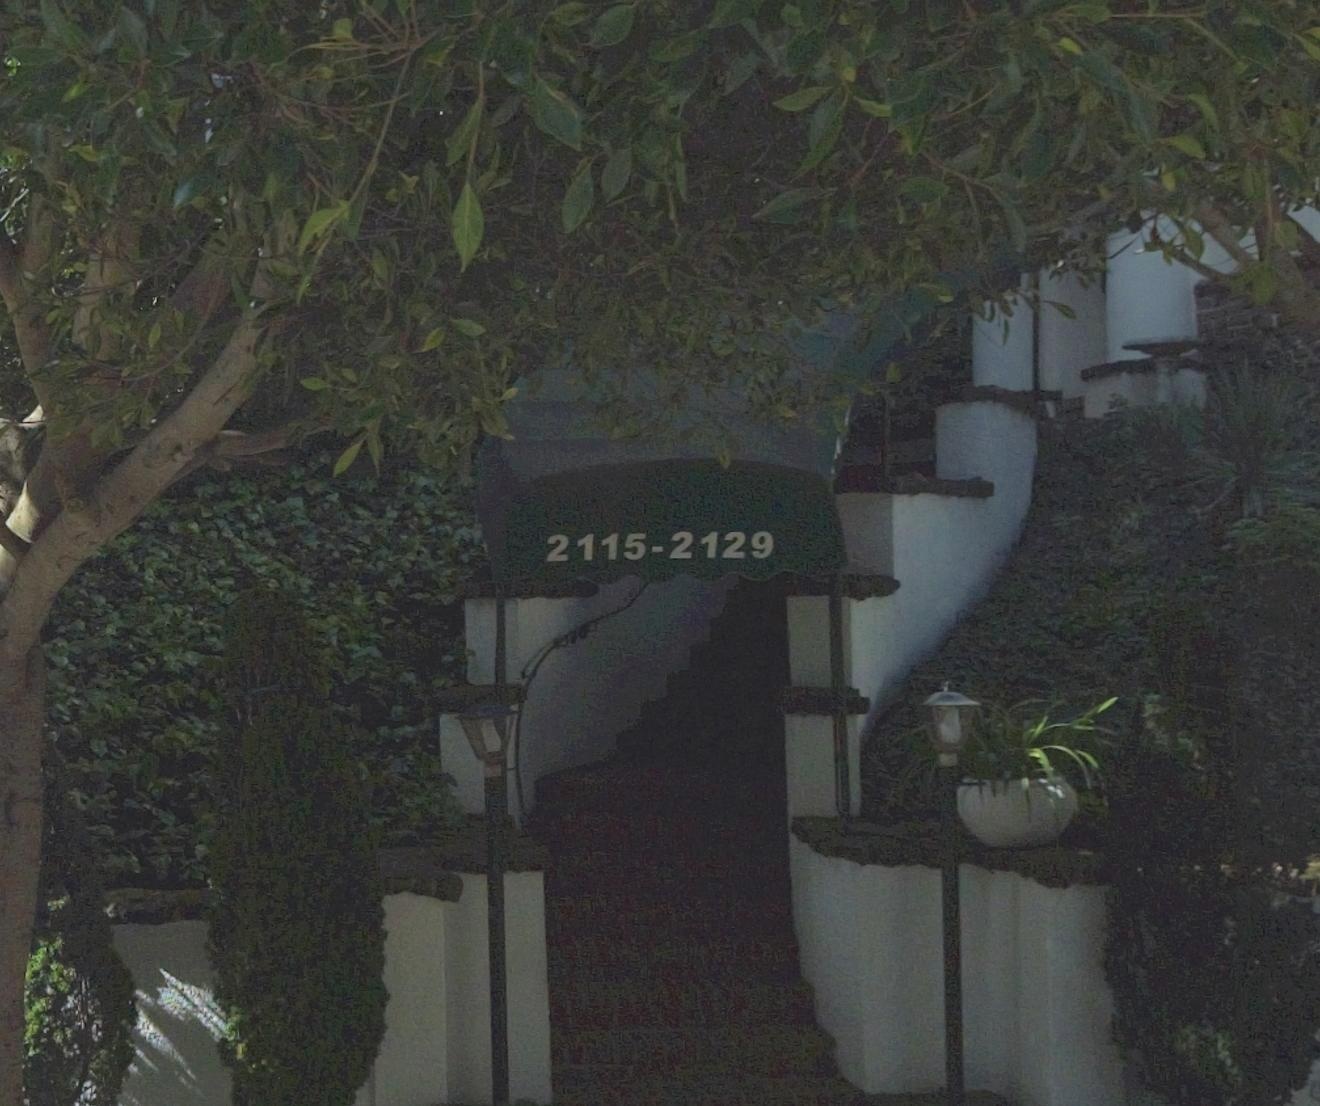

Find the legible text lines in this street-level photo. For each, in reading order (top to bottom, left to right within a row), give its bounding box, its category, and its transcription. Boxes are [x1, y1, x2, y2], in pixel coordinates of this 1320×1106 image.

[544, 531, 649, 563] StreetNumber: 2115s
[668, 528, 777, 560] StreetNumber: 2129